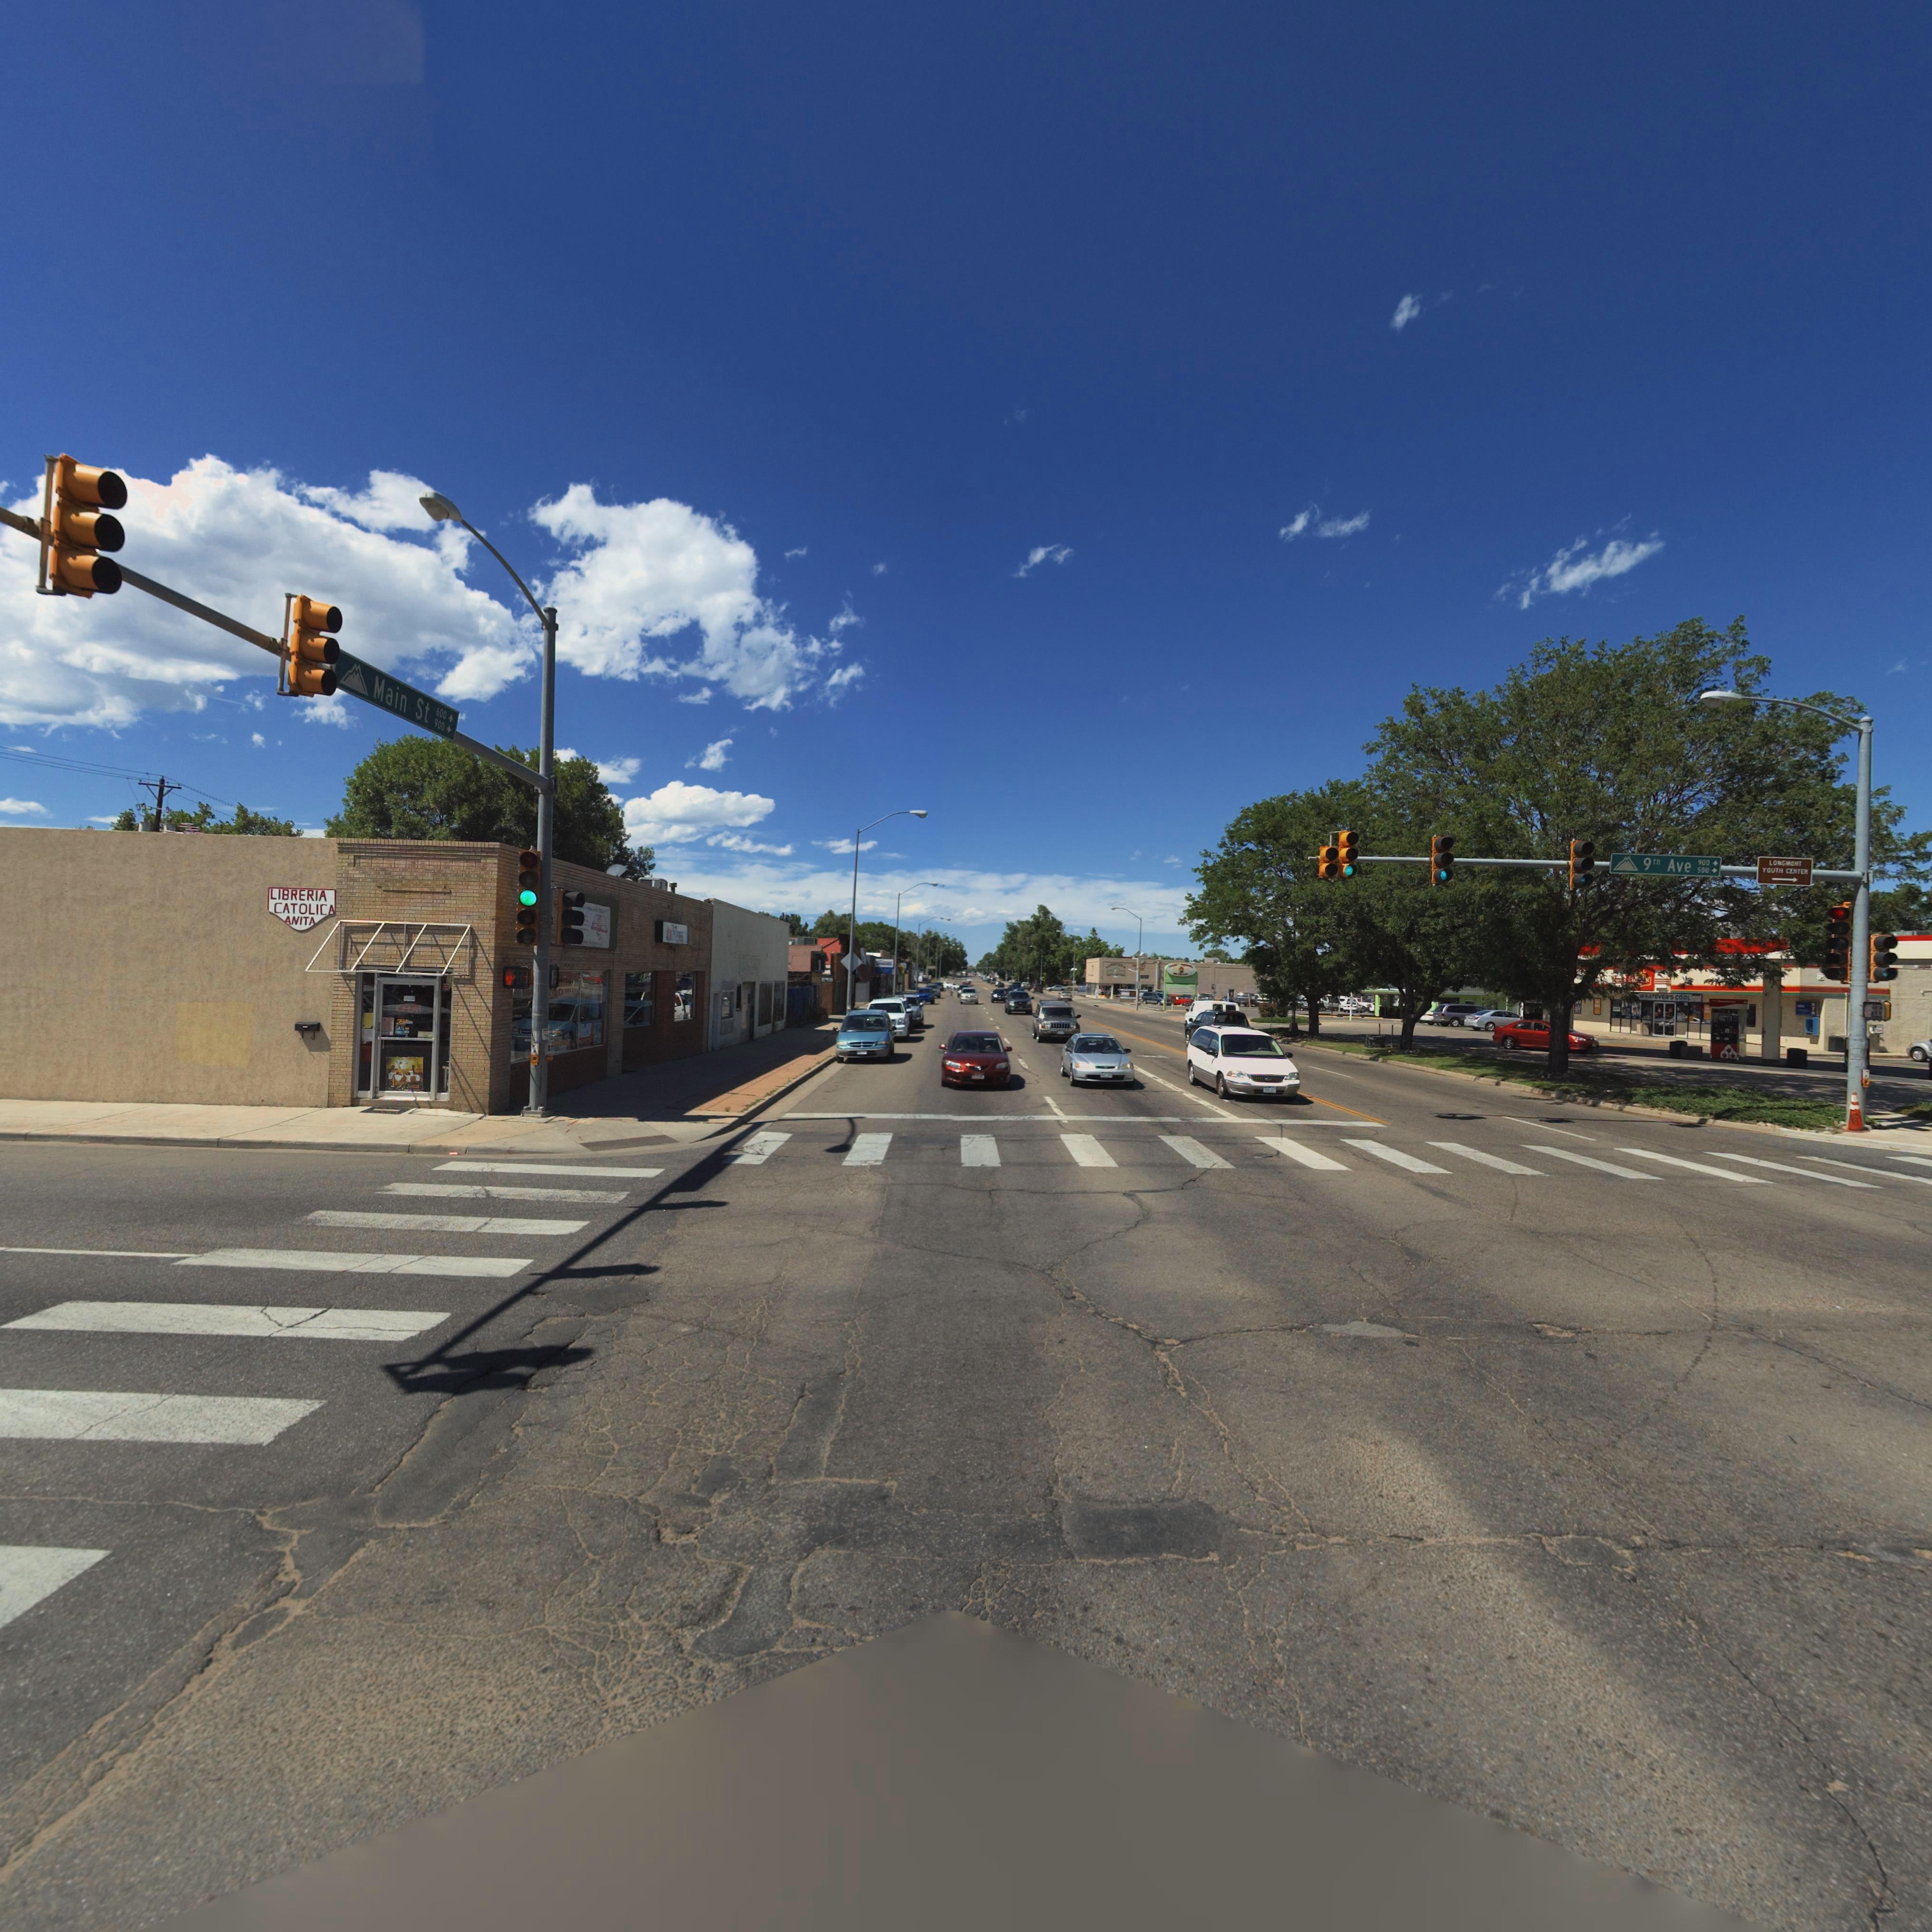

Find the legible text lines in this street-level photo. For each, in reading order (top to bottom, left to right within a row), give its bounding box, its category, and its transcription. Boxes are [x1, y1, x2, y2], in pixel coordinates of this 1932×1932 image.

[373, 675, 430, 724] StreetName: Main St
[435, 706, 447, 720] StreetNumberRange: 600
[434, 718, 451, 734] StreetNumberRange: 900->
[1643, 857, 1691, 873] StreetName: 9th Ave
[1698, 859, 1710, 866] StreetNumberRange: 900
[1697, 867, 1717, 873] StreetNumberRange: 500->
[270, 889, 327, 902] BusinessName: LIBRERIA
[274, 902, 335, 916] BusinessName: CATOLICA
[284, 915, 316, 926] BusinessName: ANITA
[671, 924, 677, 937] BusinessName: V
[1105, 963, 1126, 969] BusinessName: C********
[1645, 977, 1649, 983] BusinessName: R
[558, 988, 561, 995] BusinessName: C